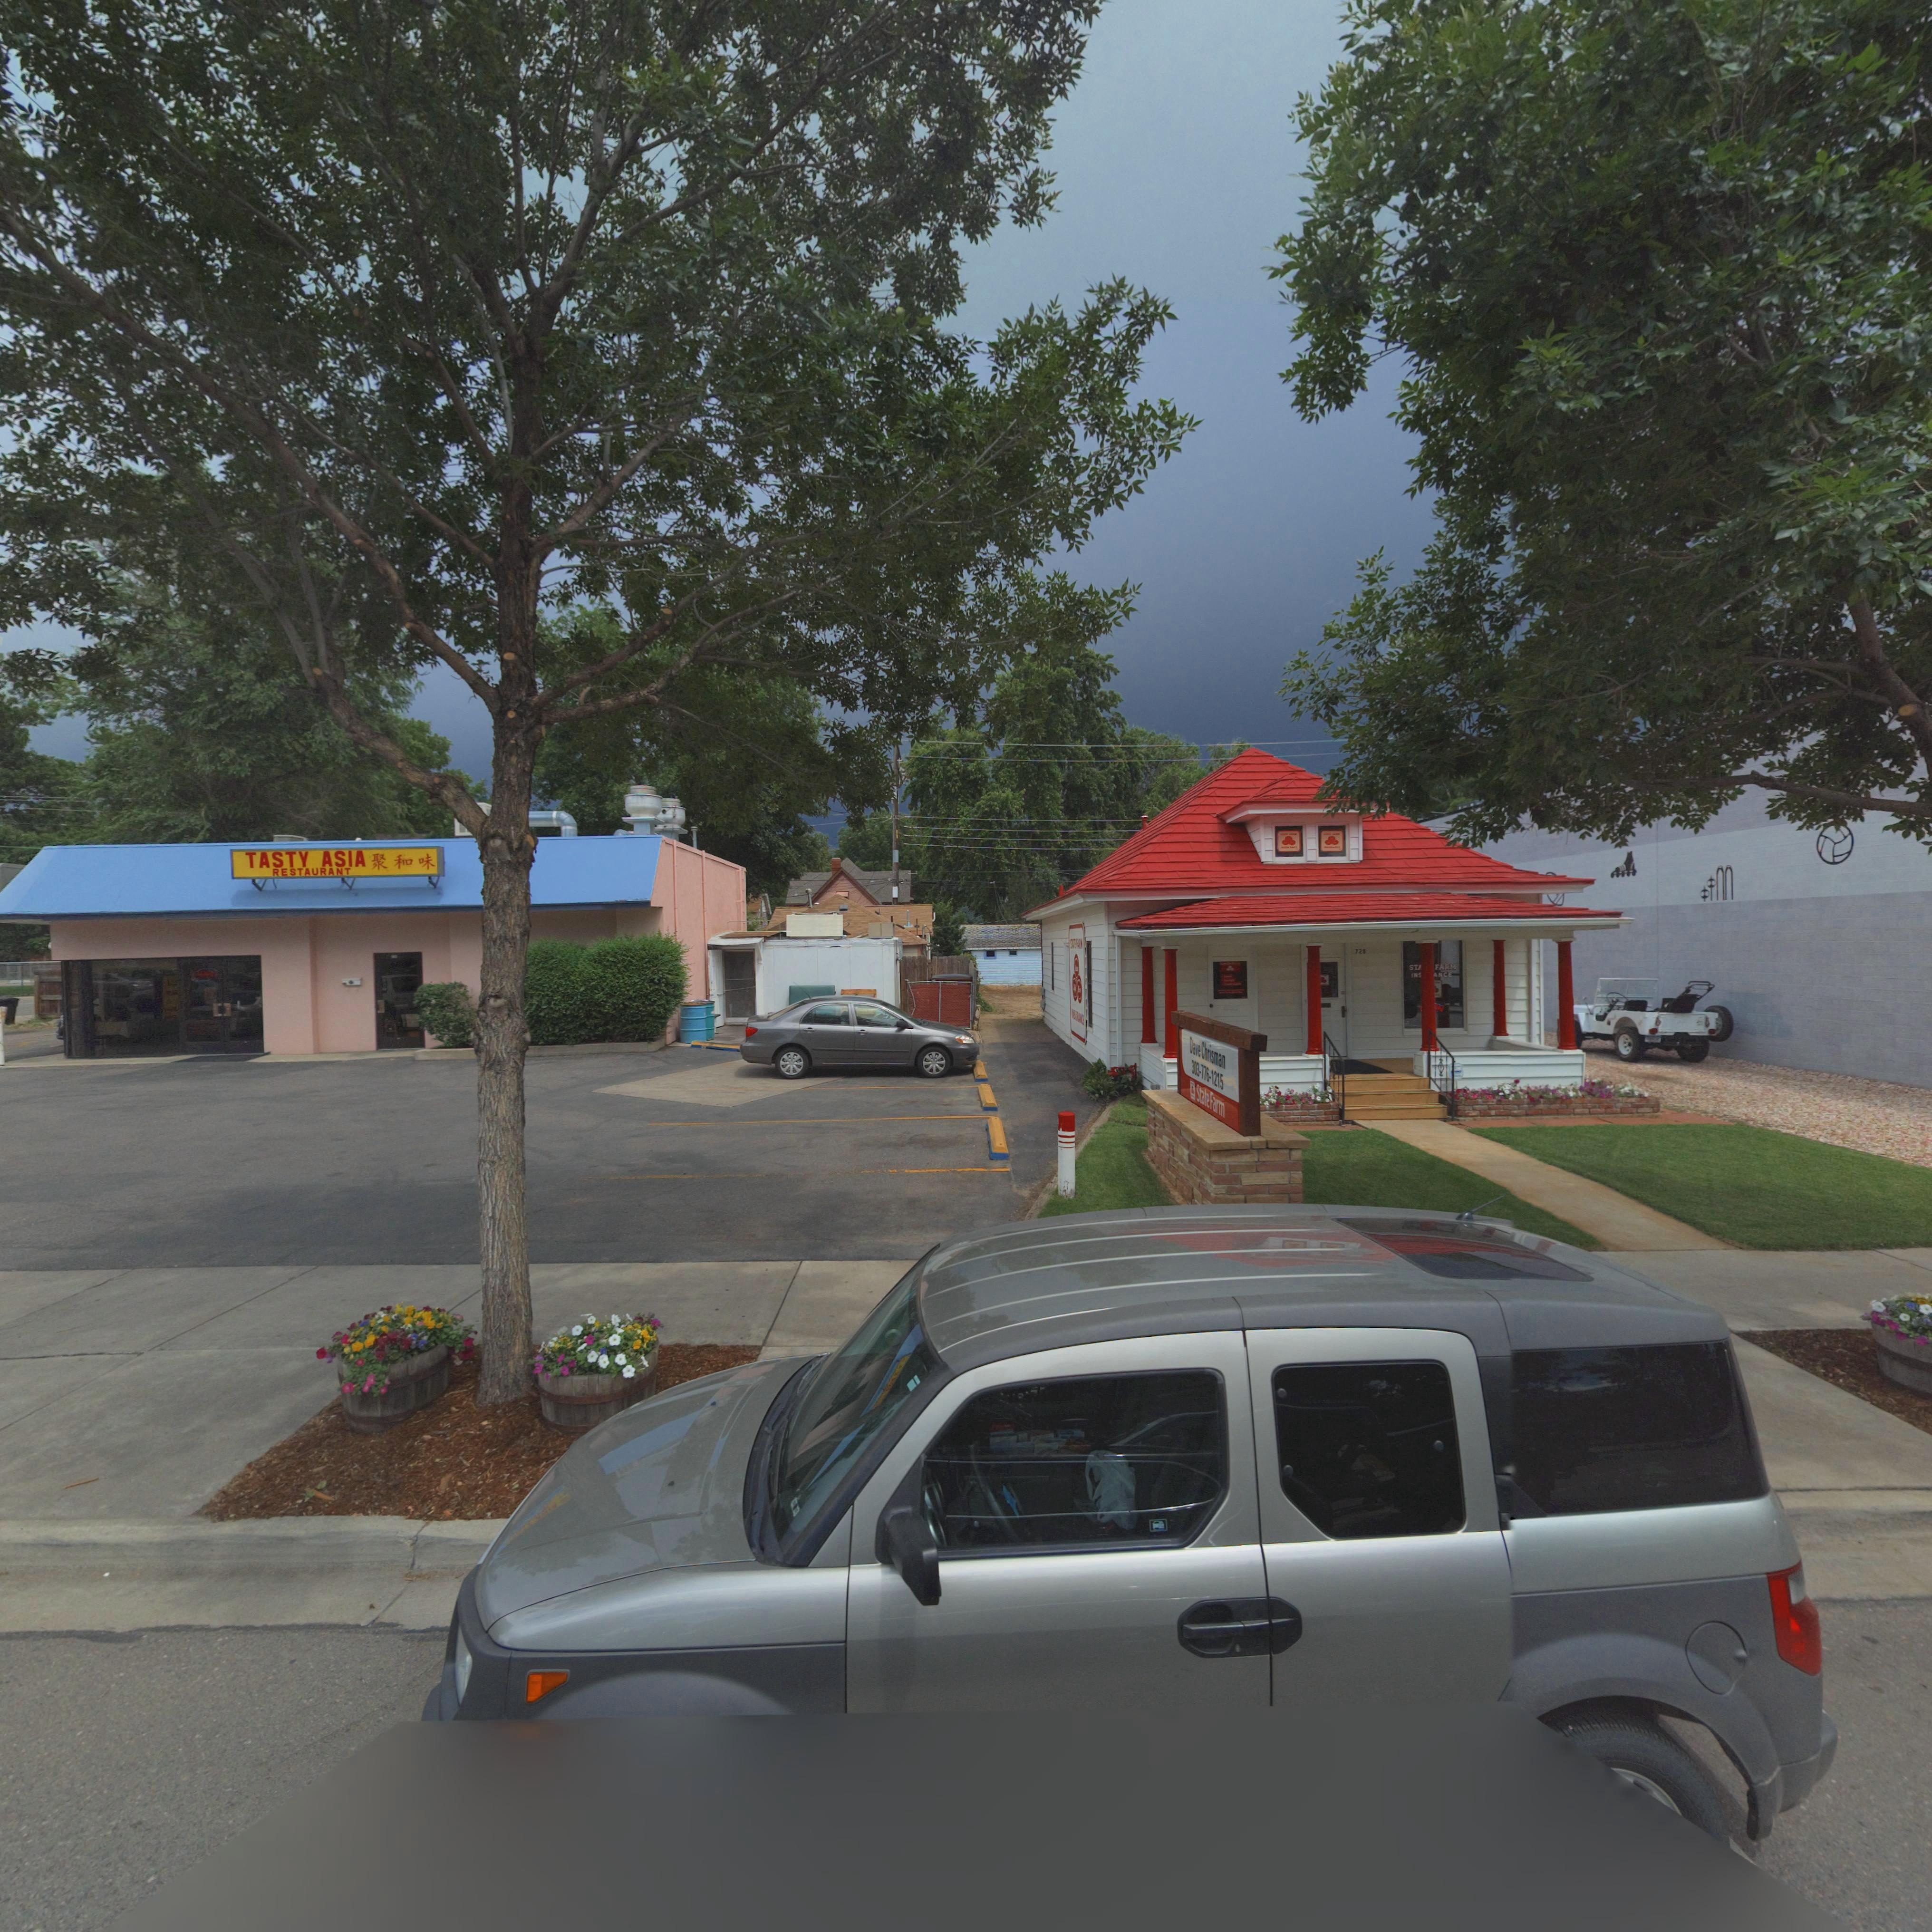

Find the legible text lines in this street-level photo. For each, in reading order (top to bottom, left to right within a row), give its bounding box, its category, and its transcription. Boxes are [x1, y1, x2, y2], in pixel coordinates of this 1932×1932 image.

[245, 850, 366, 868] BusinessName: TASTY ASIA
[272, 868, 351, 876] BusinessName: RESTAURANT
[1354, 948, 1366, 954] StreetNumber: 728
[1409, 963, 1456, 971] BusinessName: ST*** FARM
[1411, 971, 1452, 978] BusinessName: IN****NCE
[1196, 1082, 1225, 1119] BusinessName: StateFarm